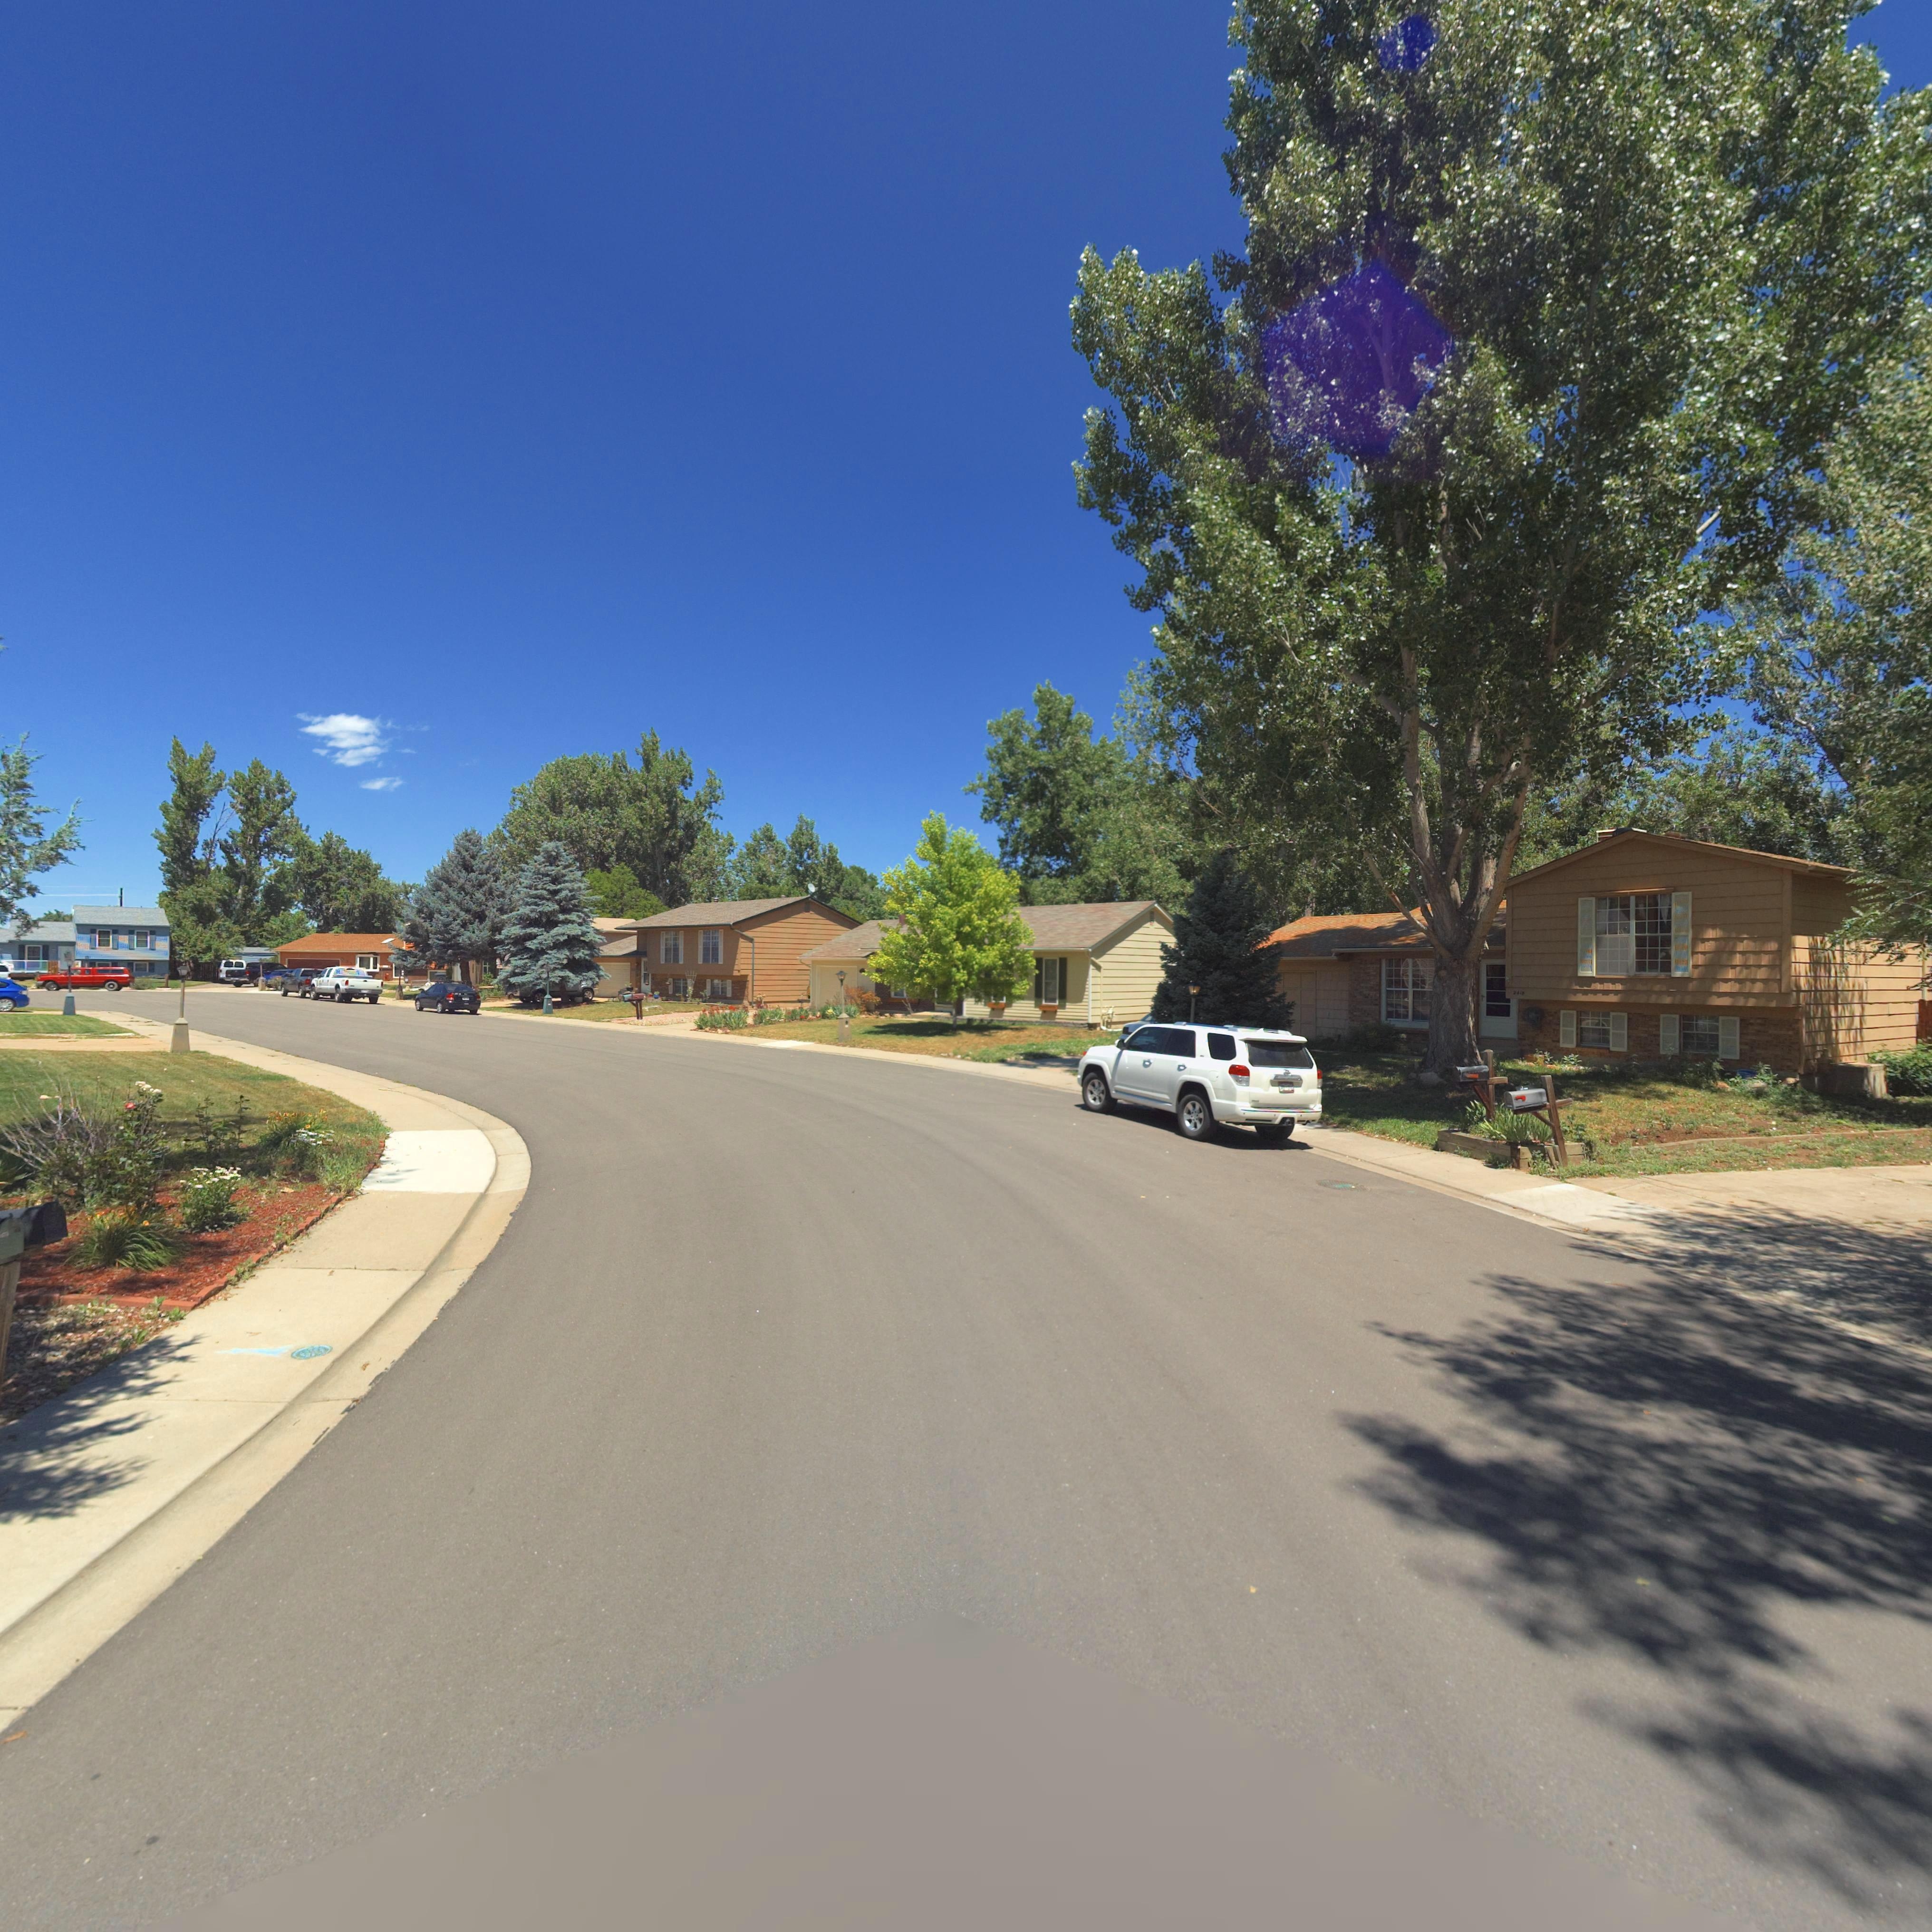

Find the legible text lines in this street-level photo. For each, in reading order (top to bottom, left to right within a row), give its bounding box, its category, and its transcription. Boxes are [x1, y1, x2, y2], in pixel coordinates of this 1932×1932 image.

[1512, 990, 1525, 995] StreetNumber: 241*